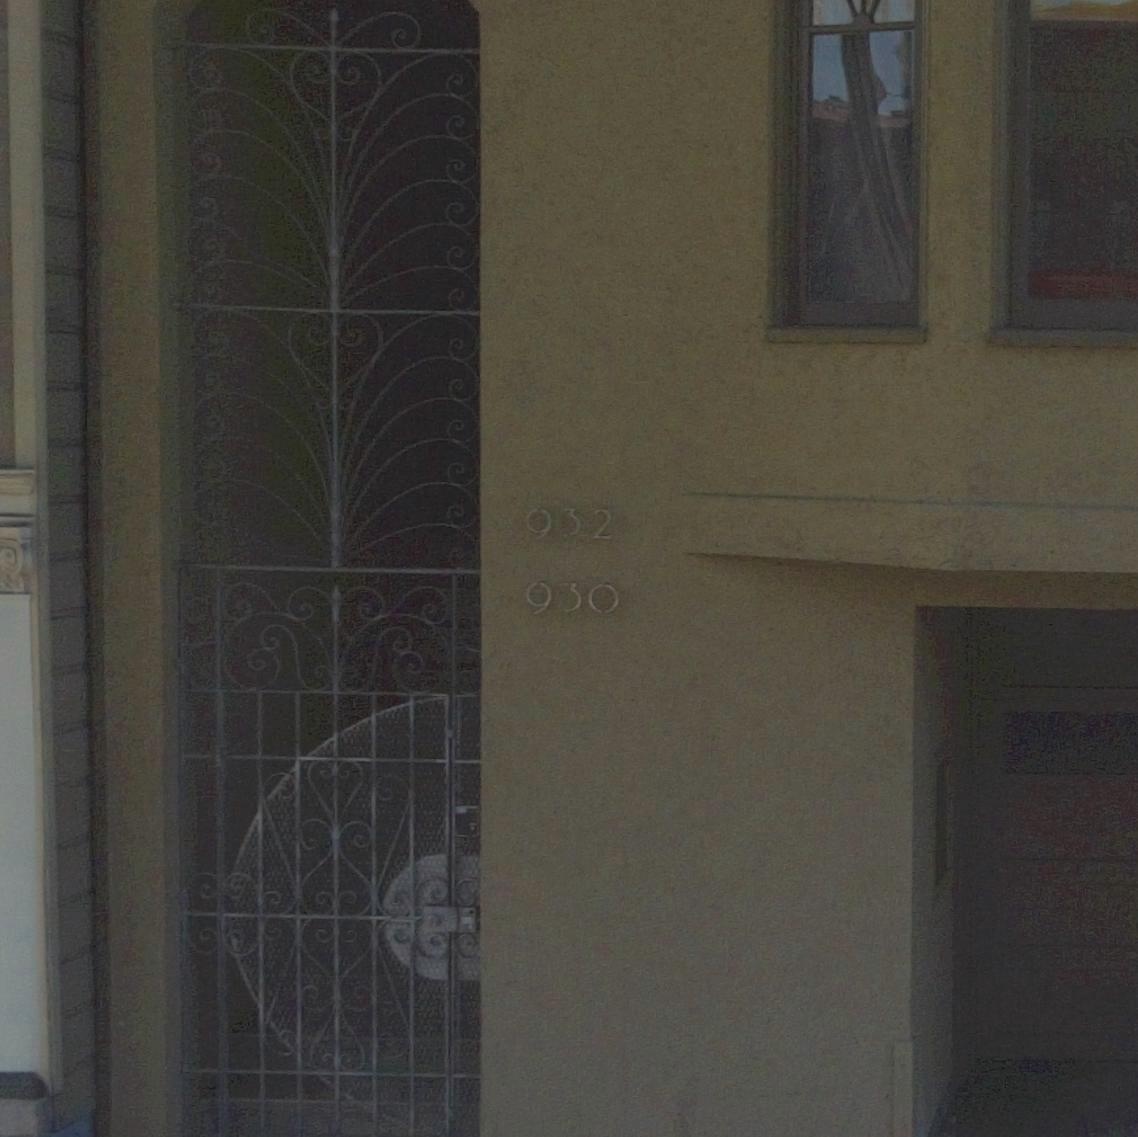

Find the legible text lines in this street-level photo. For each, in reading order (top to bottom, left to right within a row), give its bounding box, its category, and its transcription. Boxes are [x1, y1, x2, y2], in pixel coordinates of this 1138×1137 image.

[523, 502, 614, 546] StreetNumber: 932
[524, 577, 620, 618] StreetNumber: 930